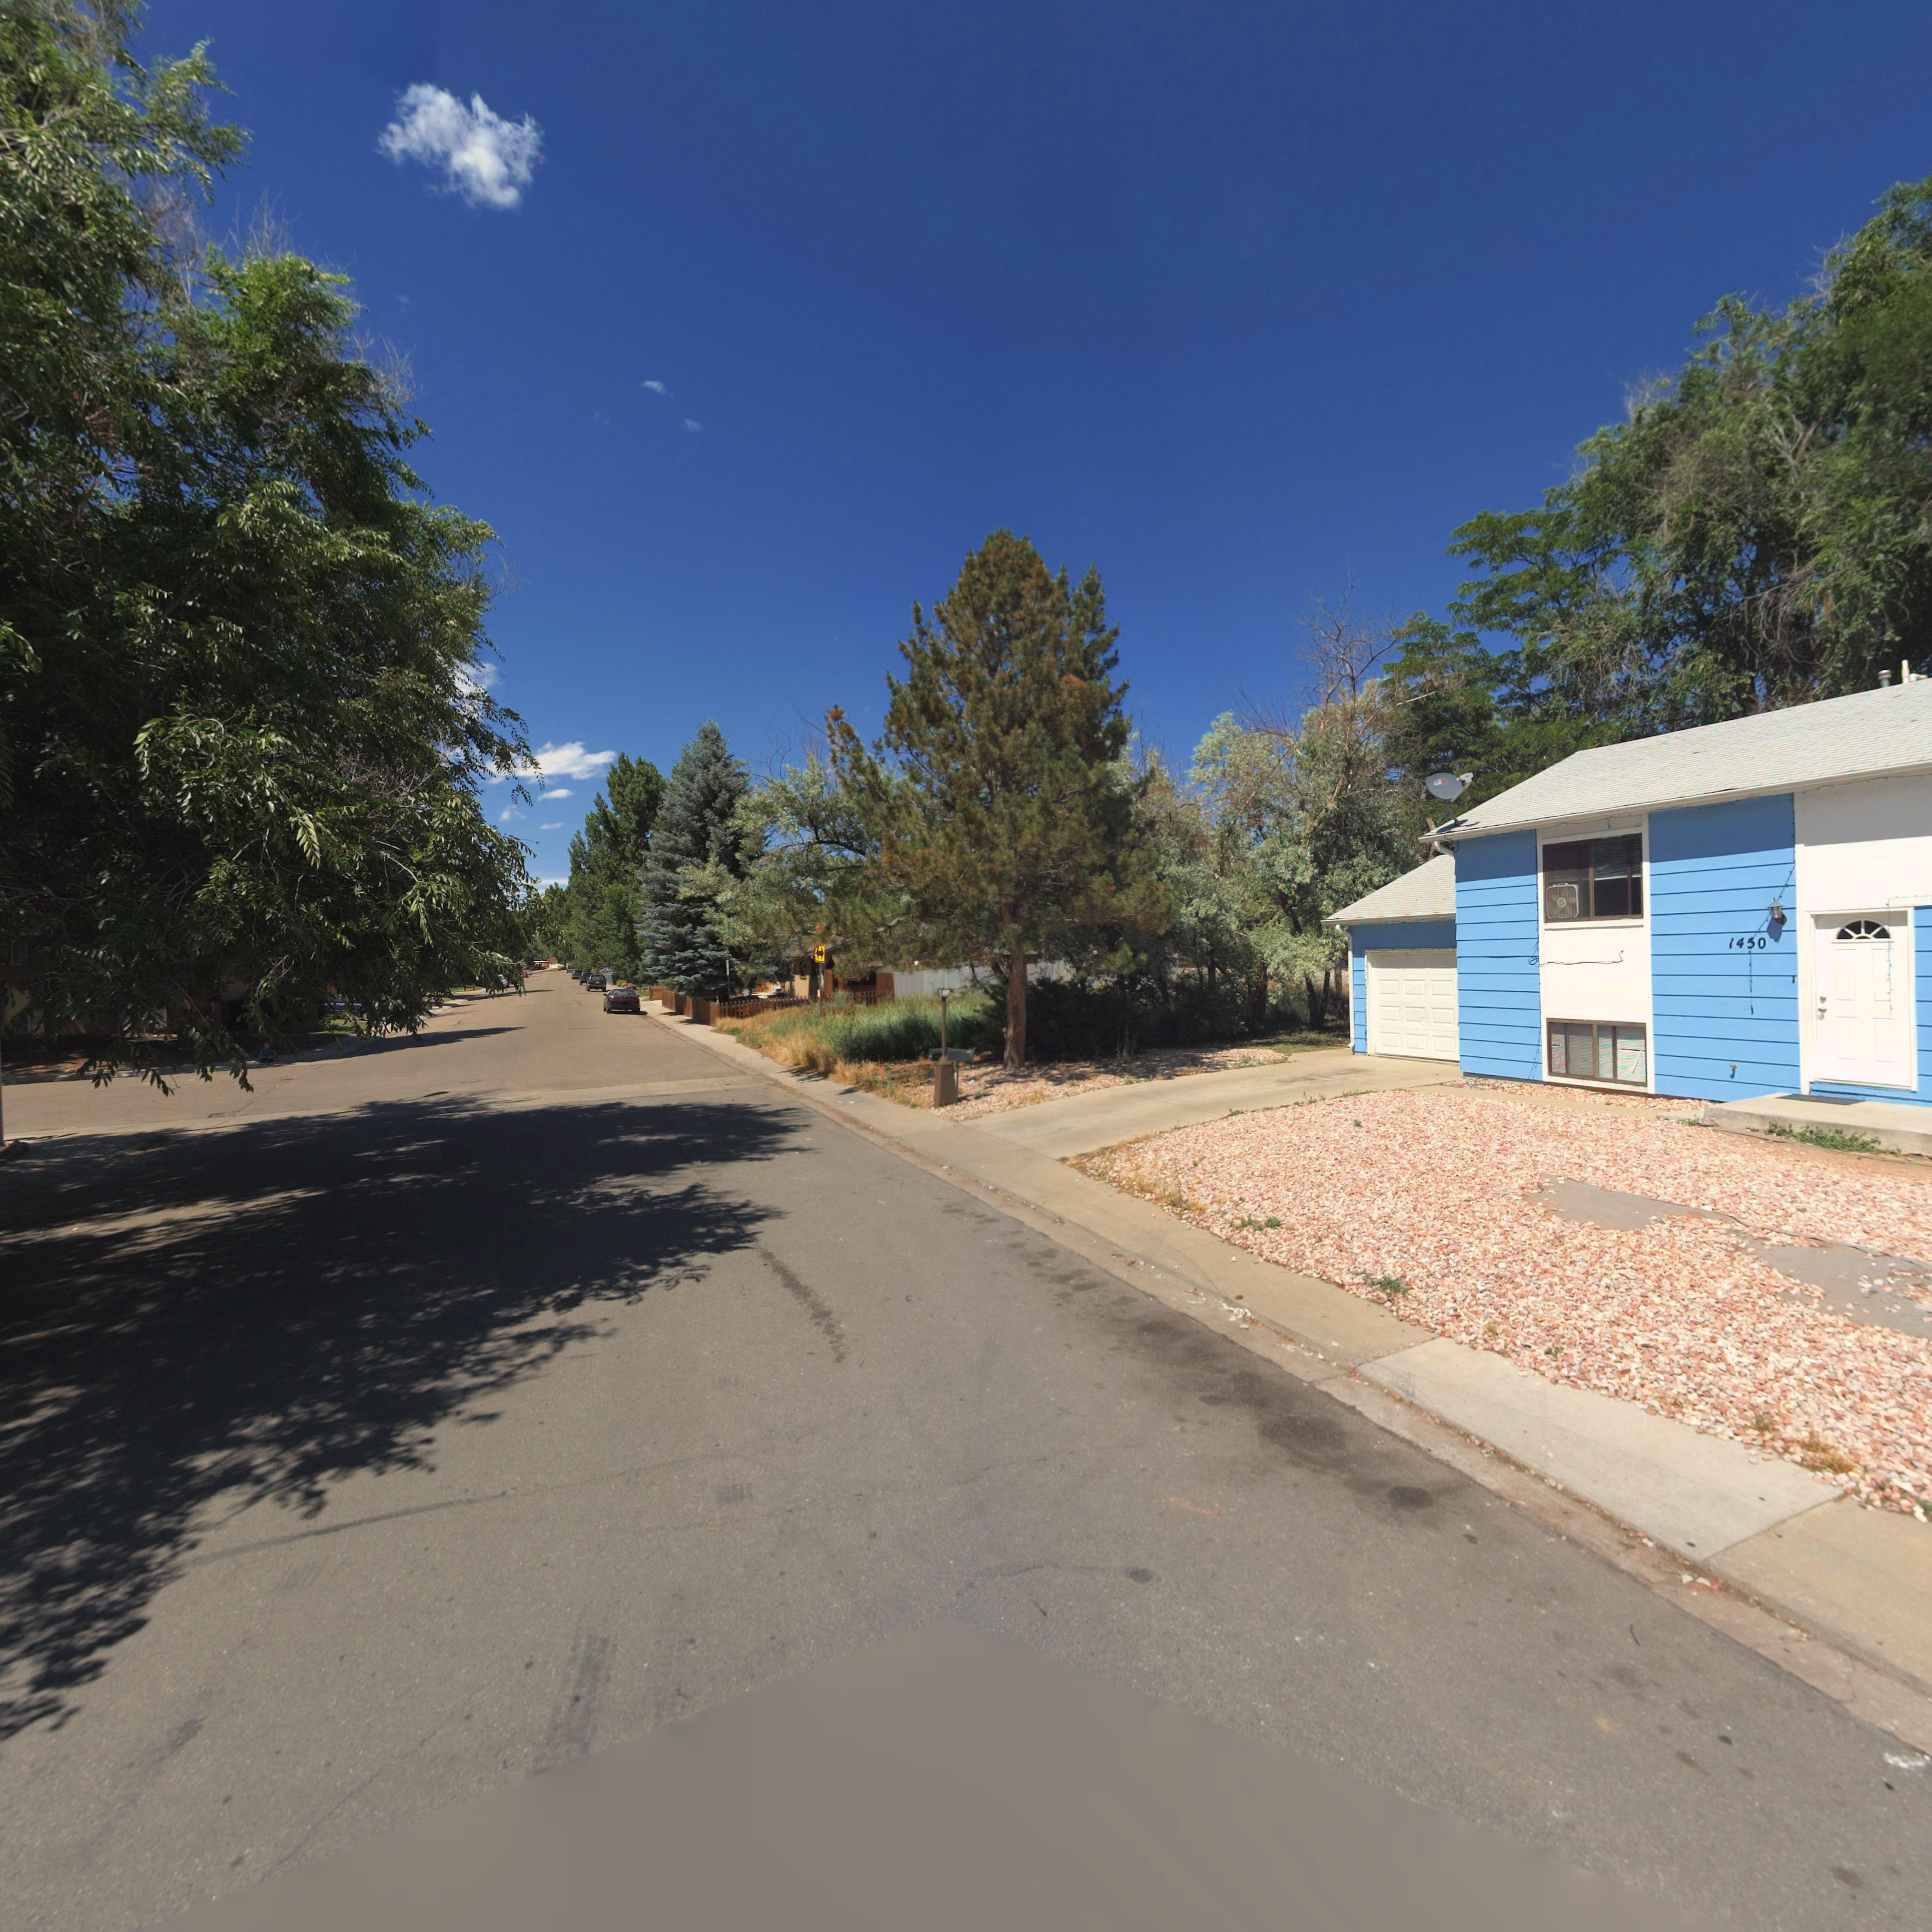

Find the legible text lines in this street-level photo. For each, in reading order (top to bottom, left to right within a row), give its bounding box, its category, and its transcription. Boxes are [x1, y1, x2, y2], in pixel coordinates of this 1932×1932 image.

[1728, 937, 1765, 949] StreetNumber: 1450